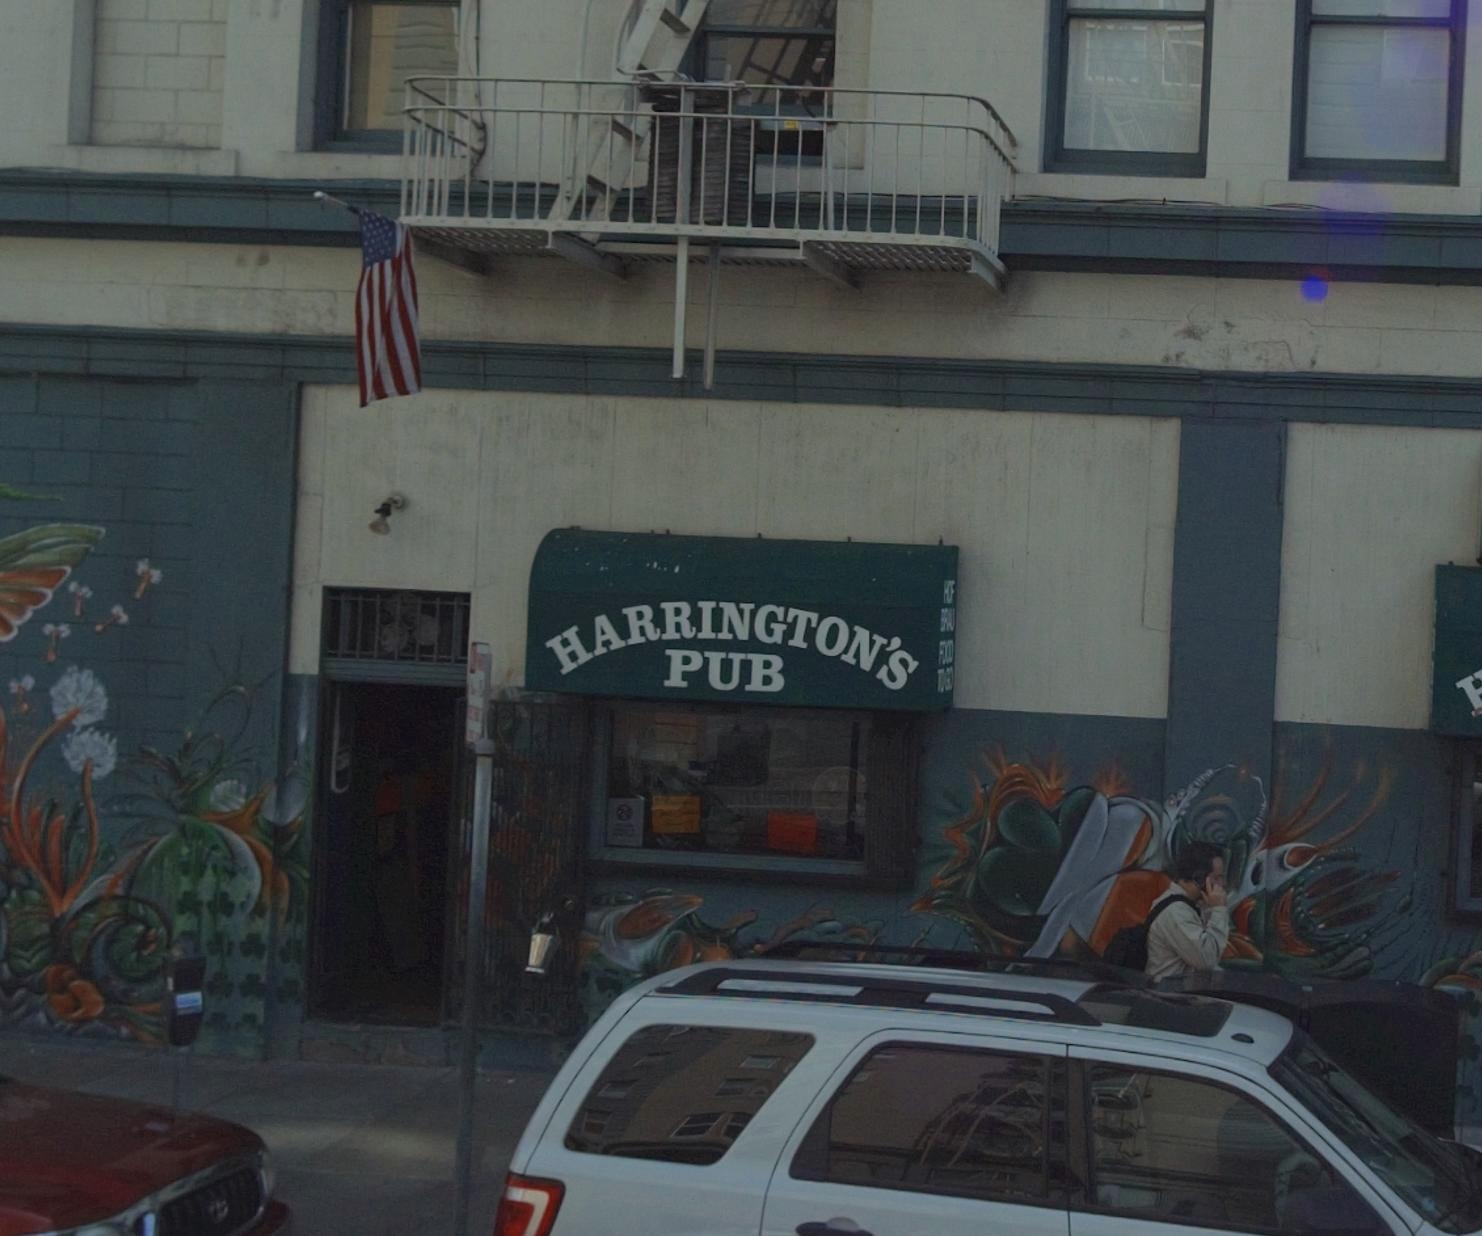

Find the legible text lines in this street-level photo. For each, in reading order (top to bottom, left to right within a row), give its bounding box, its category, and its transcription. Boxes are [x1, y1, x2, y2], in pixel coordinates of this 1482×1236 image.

[658, 644, 787, 697] None: PUB
[539, 598, 926, 696] BusinessName: HARRINGTON'S